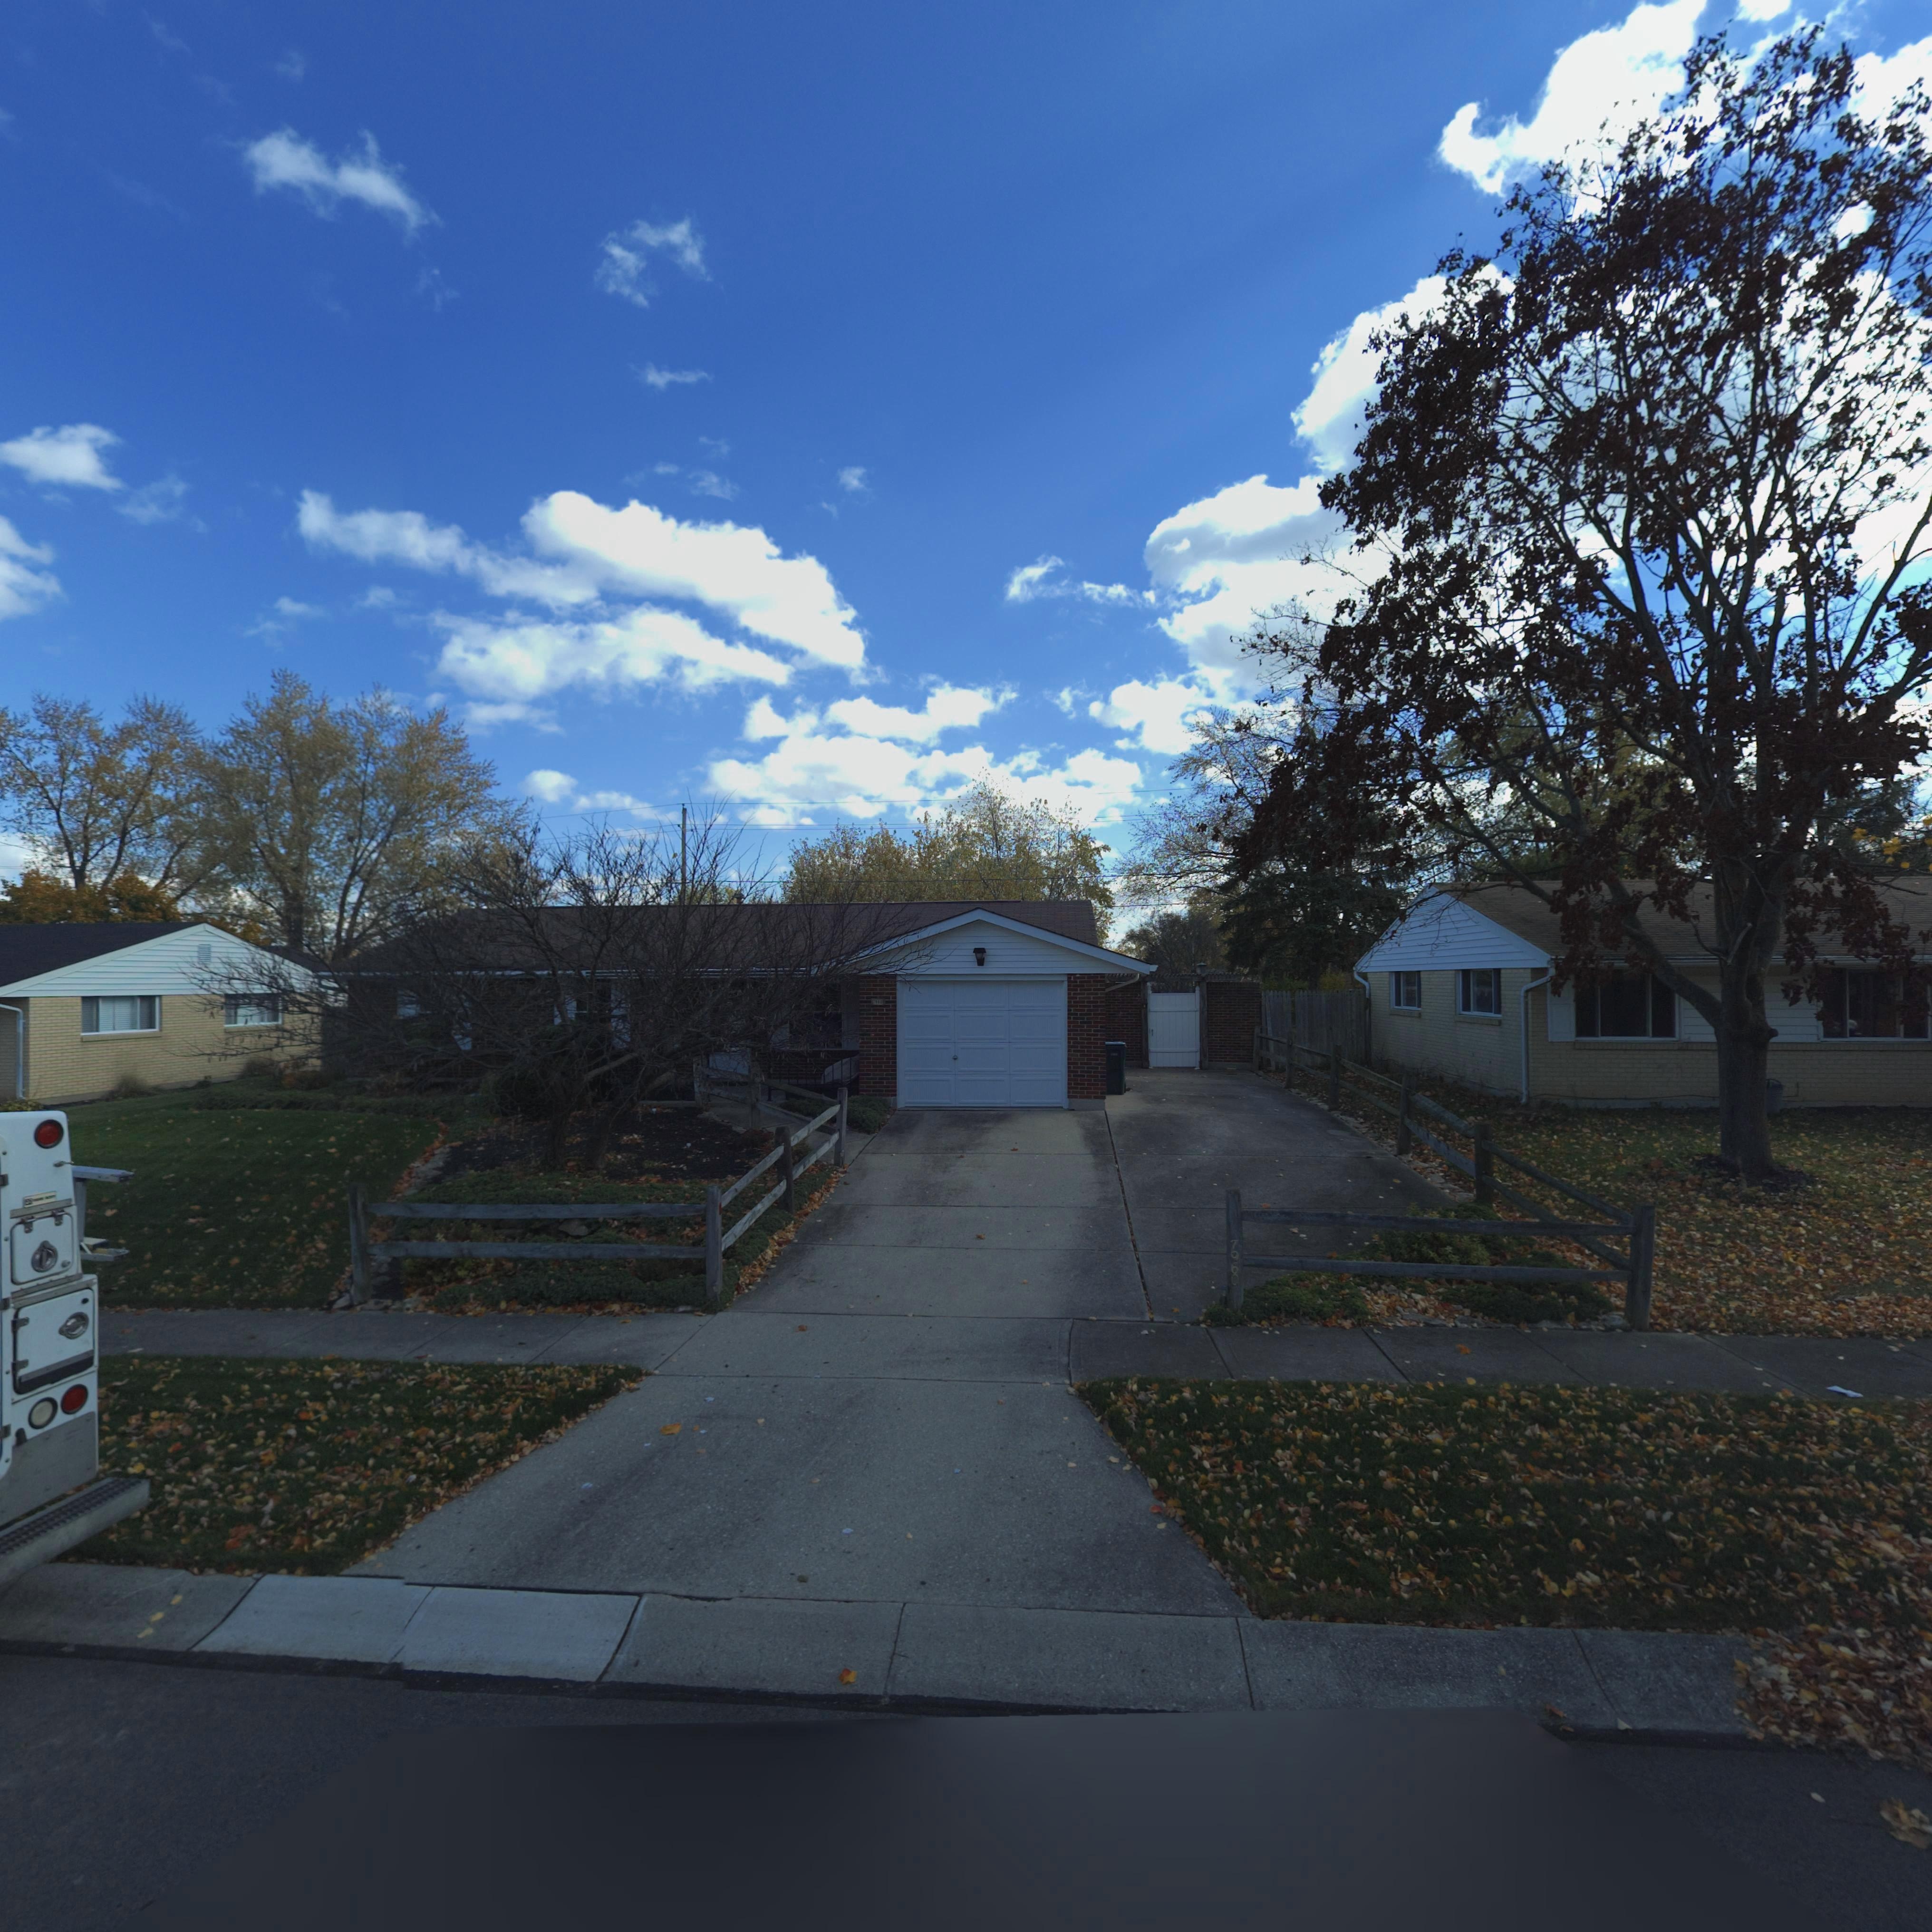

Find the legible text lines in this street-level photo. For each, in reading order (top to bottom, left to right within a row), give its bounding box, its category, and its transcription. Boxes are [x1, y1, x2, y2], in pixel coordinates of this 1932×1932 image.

[872, 999, 883, 1005] StreetNumber: 7***